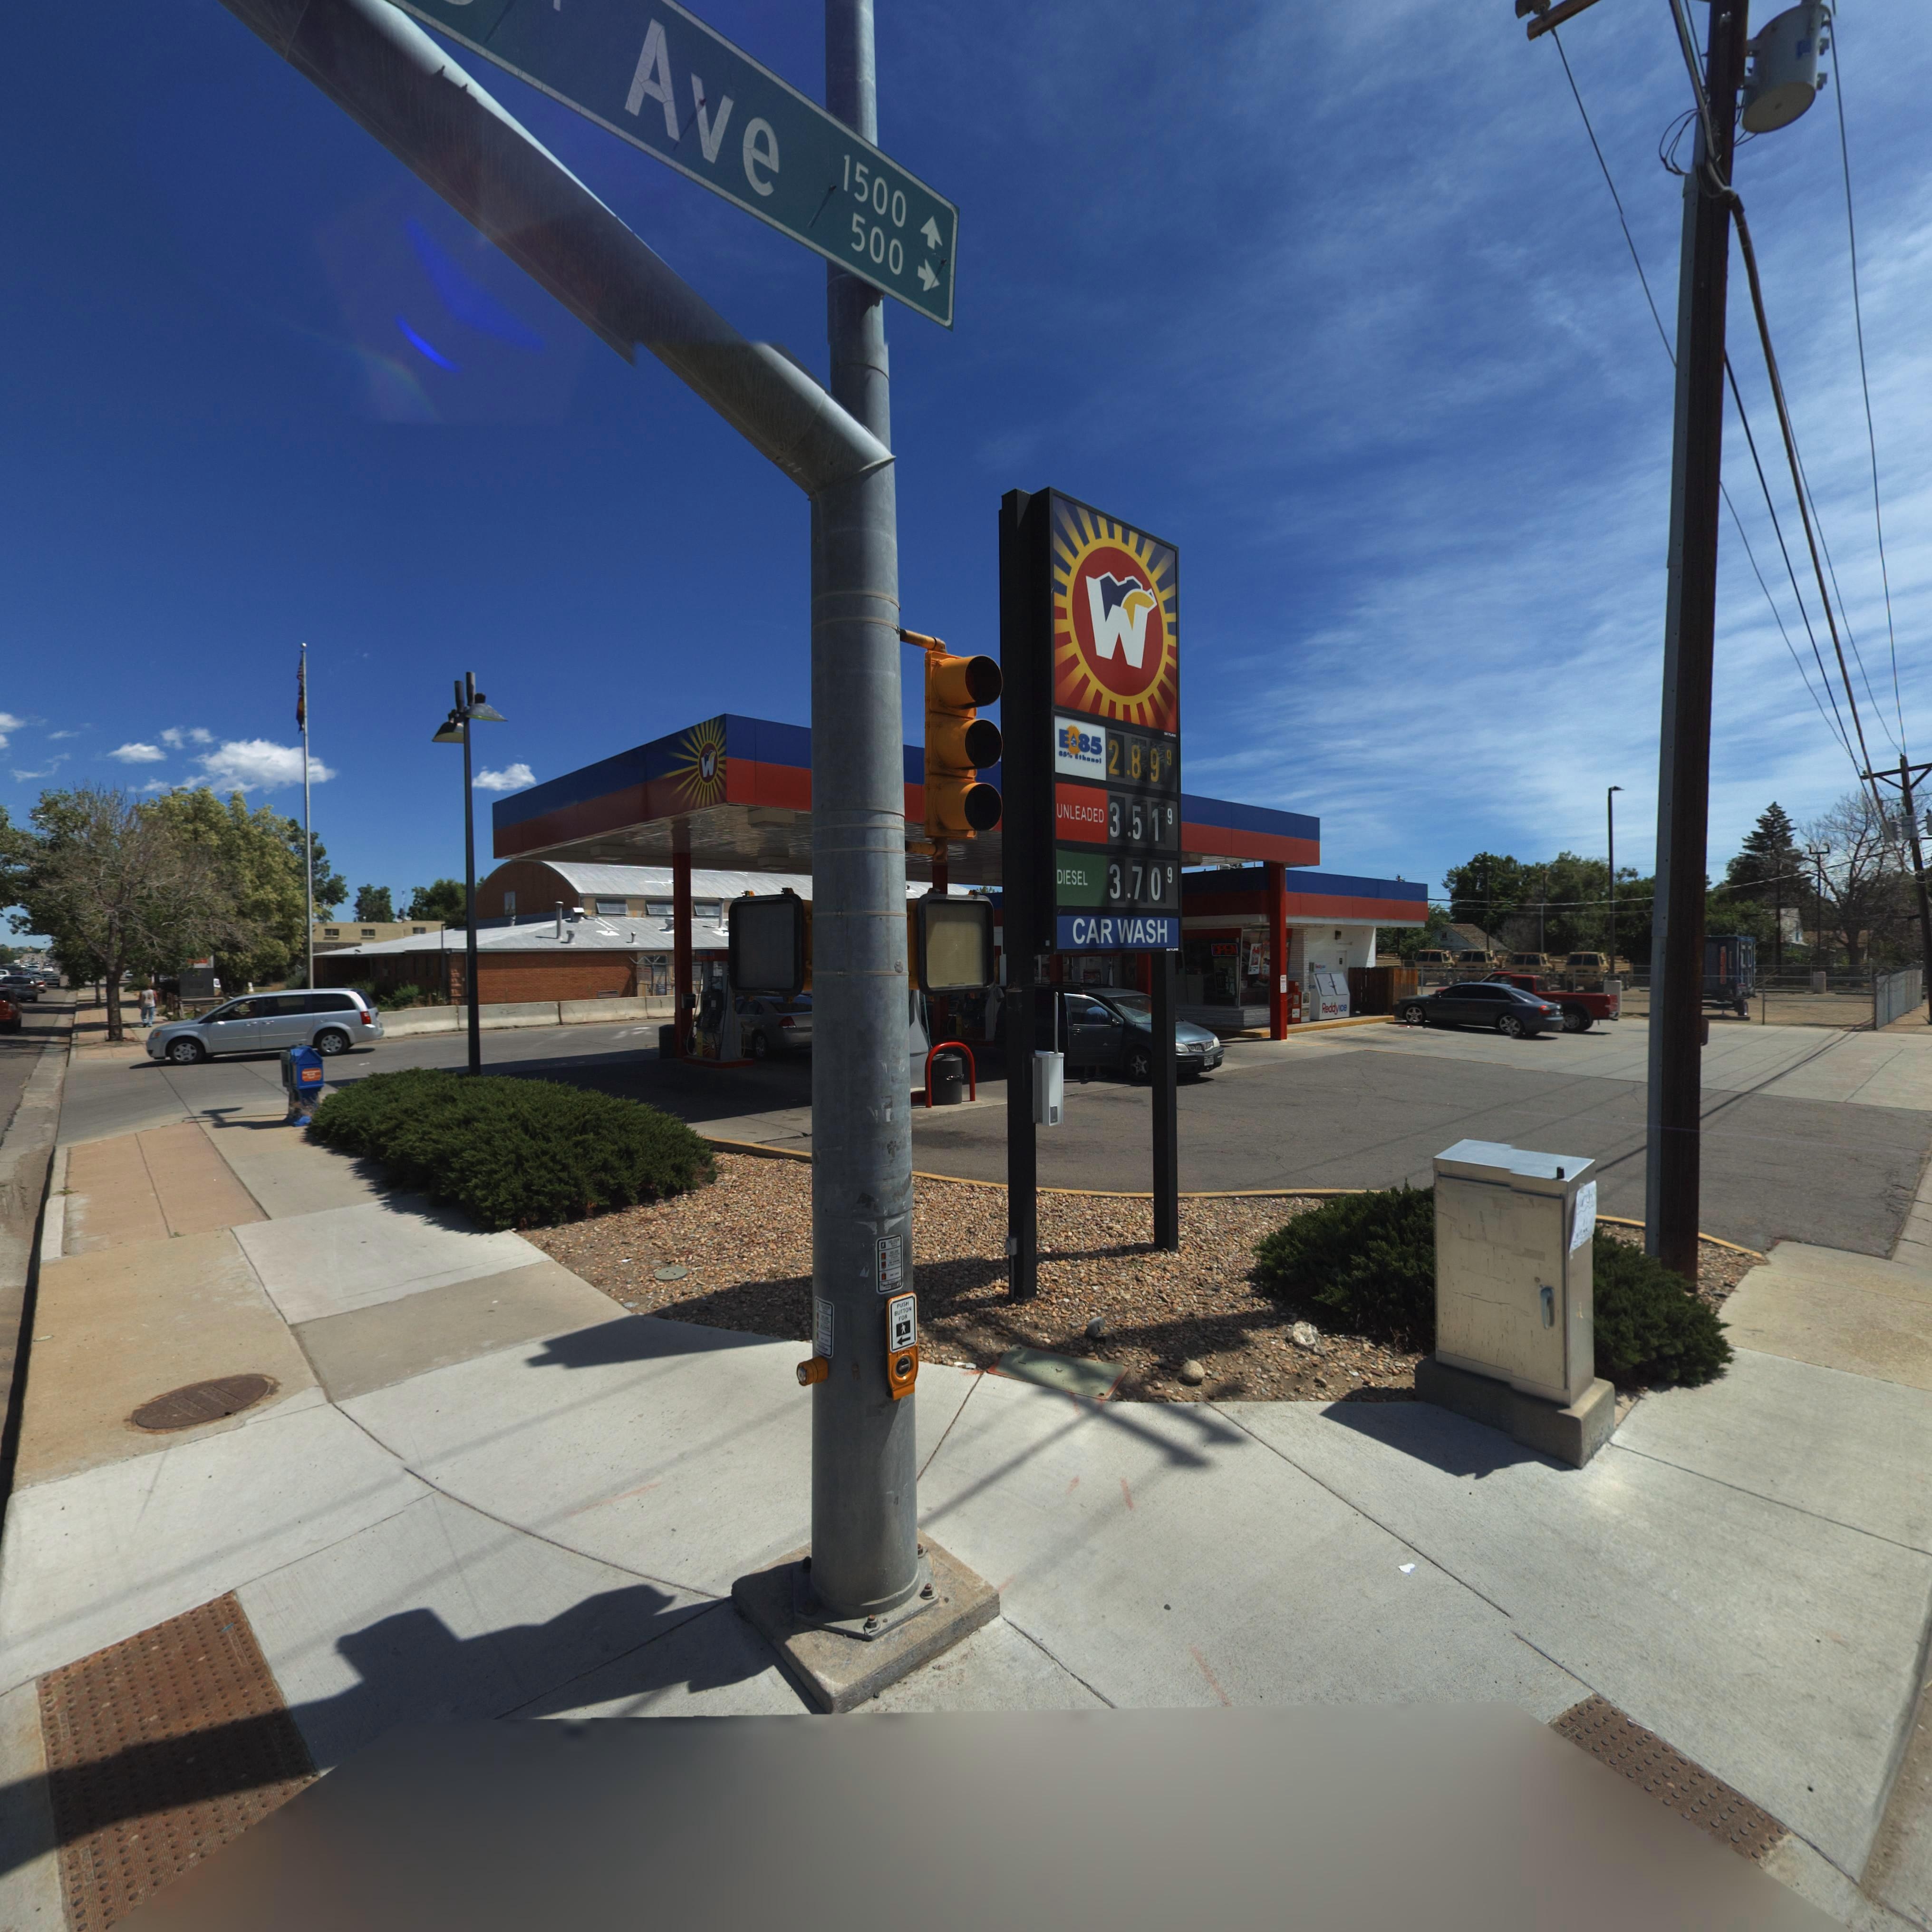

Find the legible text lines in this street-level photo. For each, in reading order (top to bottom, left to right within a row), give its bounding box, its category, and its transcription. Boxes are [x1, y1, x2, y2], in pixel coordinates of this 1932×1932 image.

[622, 19, 783, 199] StreetName: Ave
[842, 151, 908, 231] StreetNumberRange: 1500
[851, 211, 942, 291] StreetNumberRange: 500->